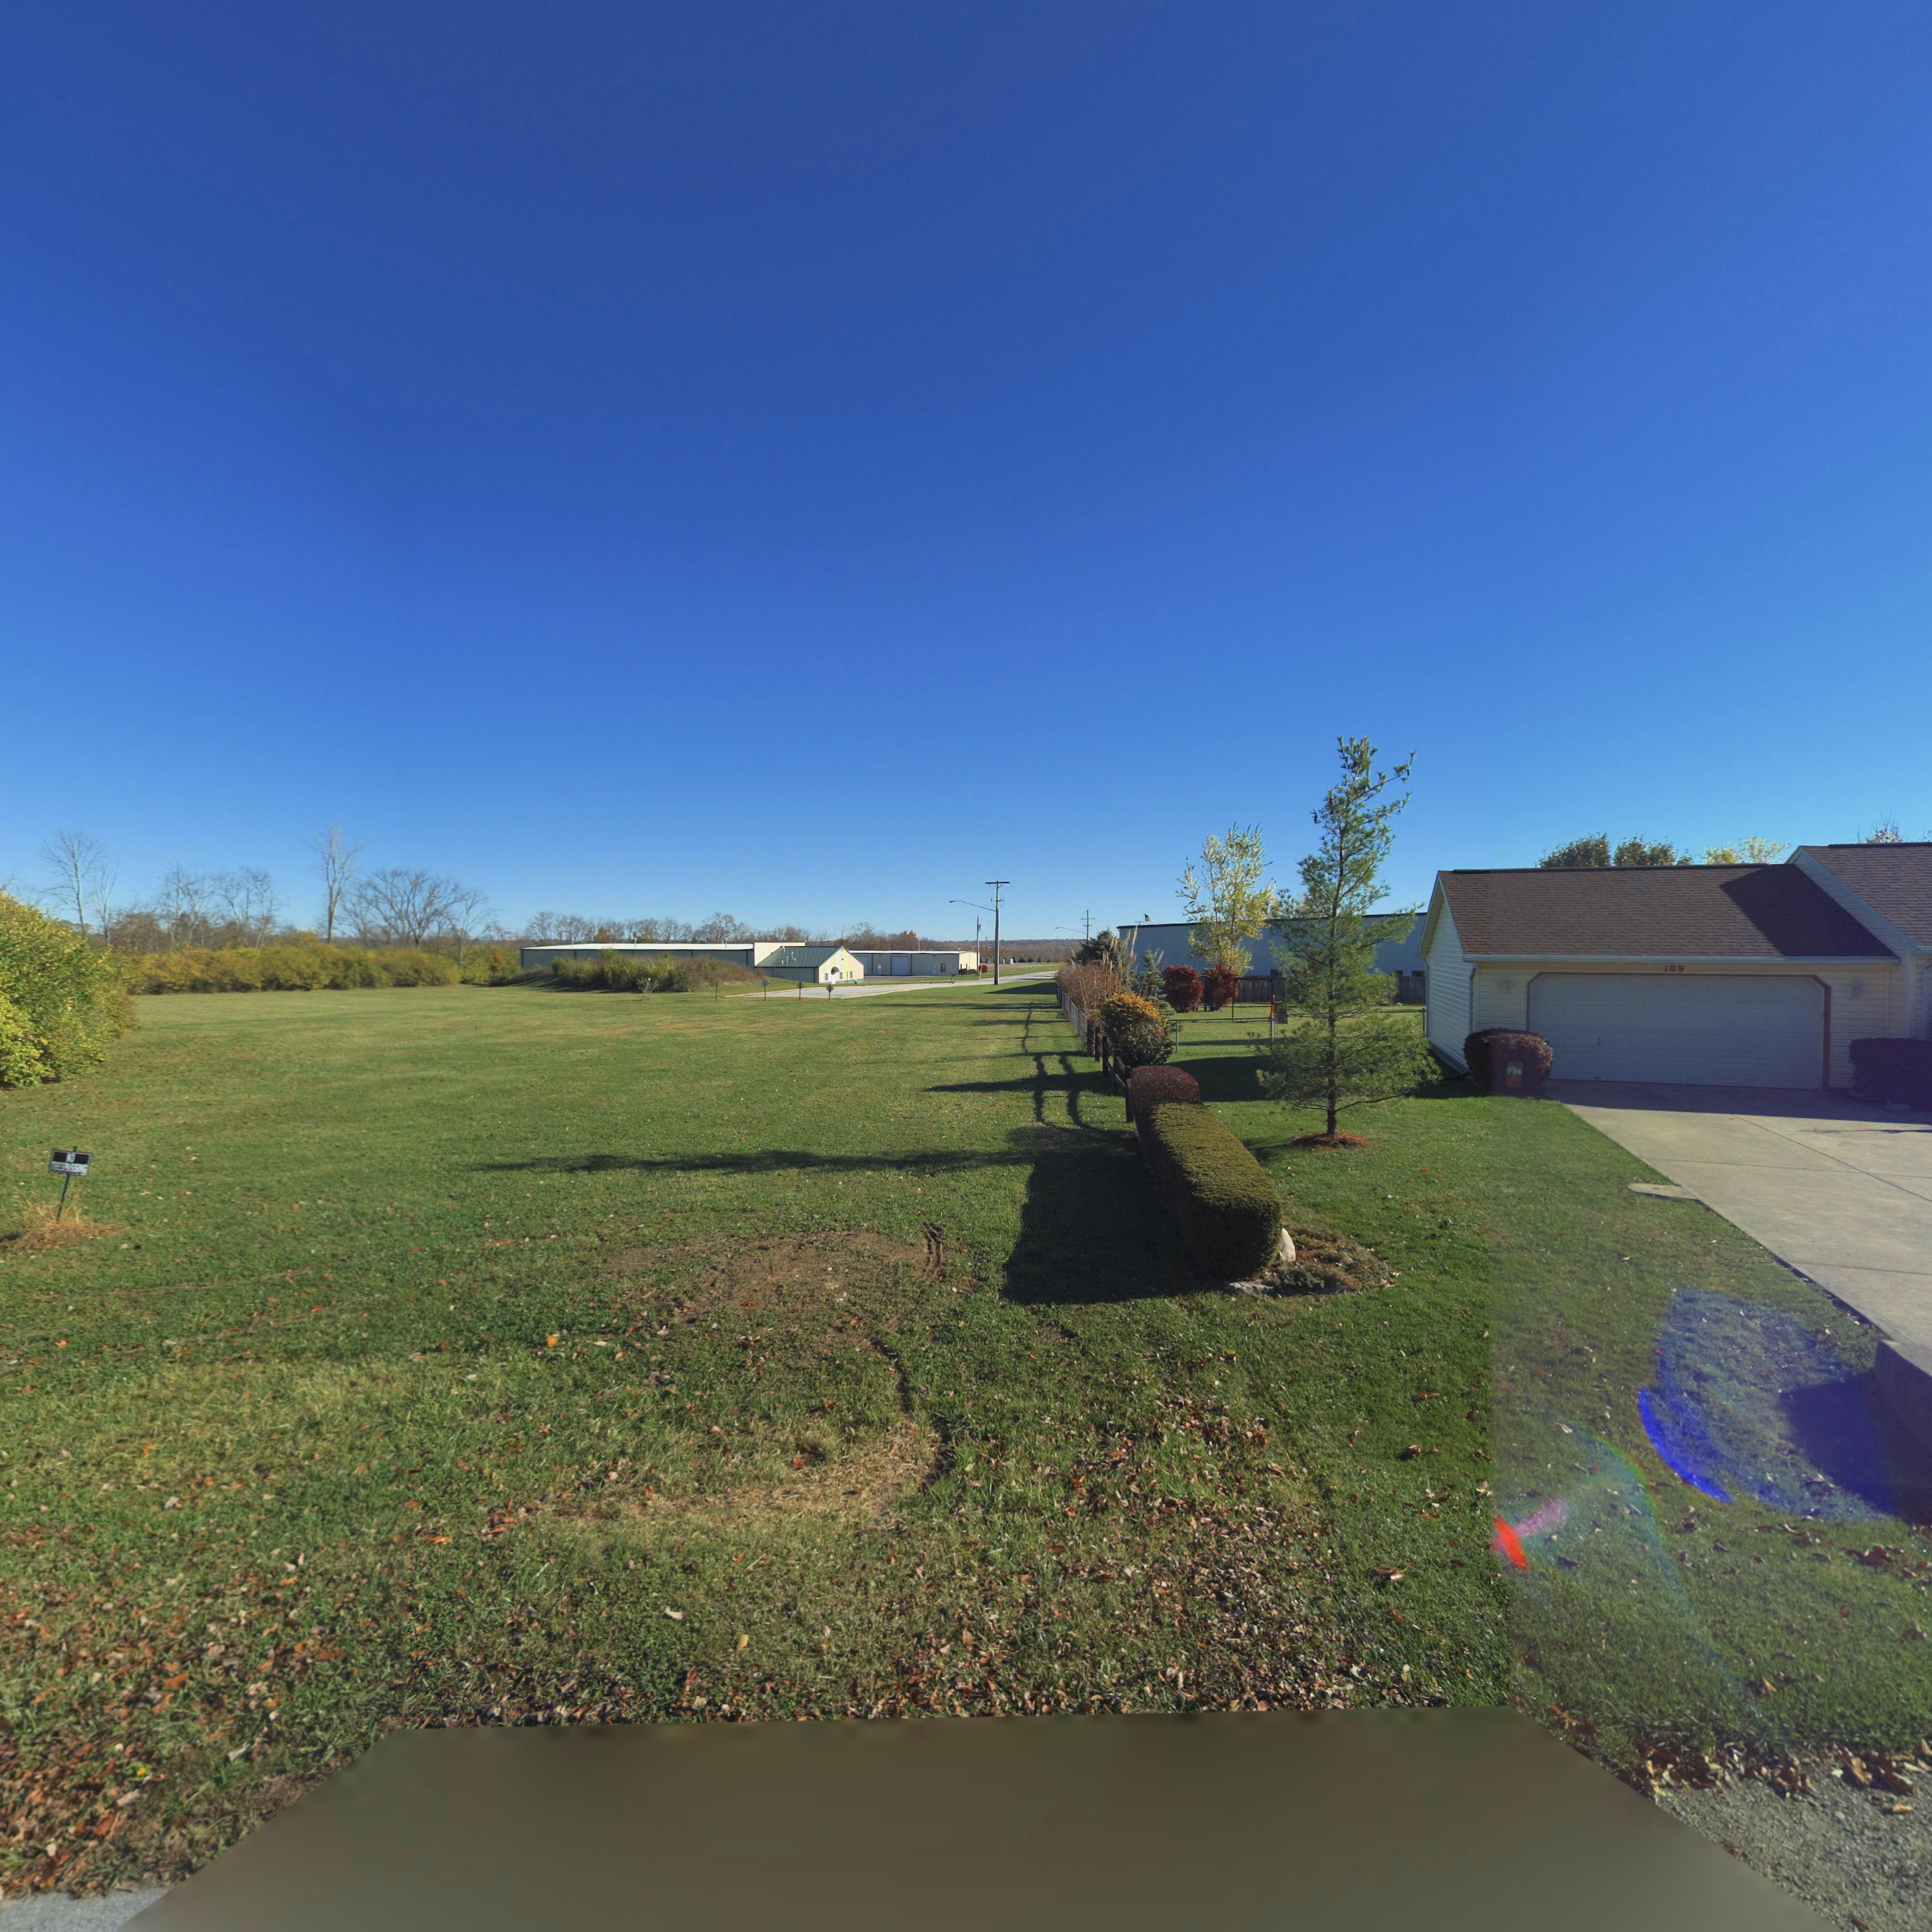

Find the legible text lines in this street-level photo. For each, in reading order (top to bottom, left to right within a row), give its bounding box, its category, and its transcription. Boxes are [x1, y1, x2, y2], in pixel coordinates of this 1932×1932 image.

[1662, 963, 1684, 973] StreetNumber: 109